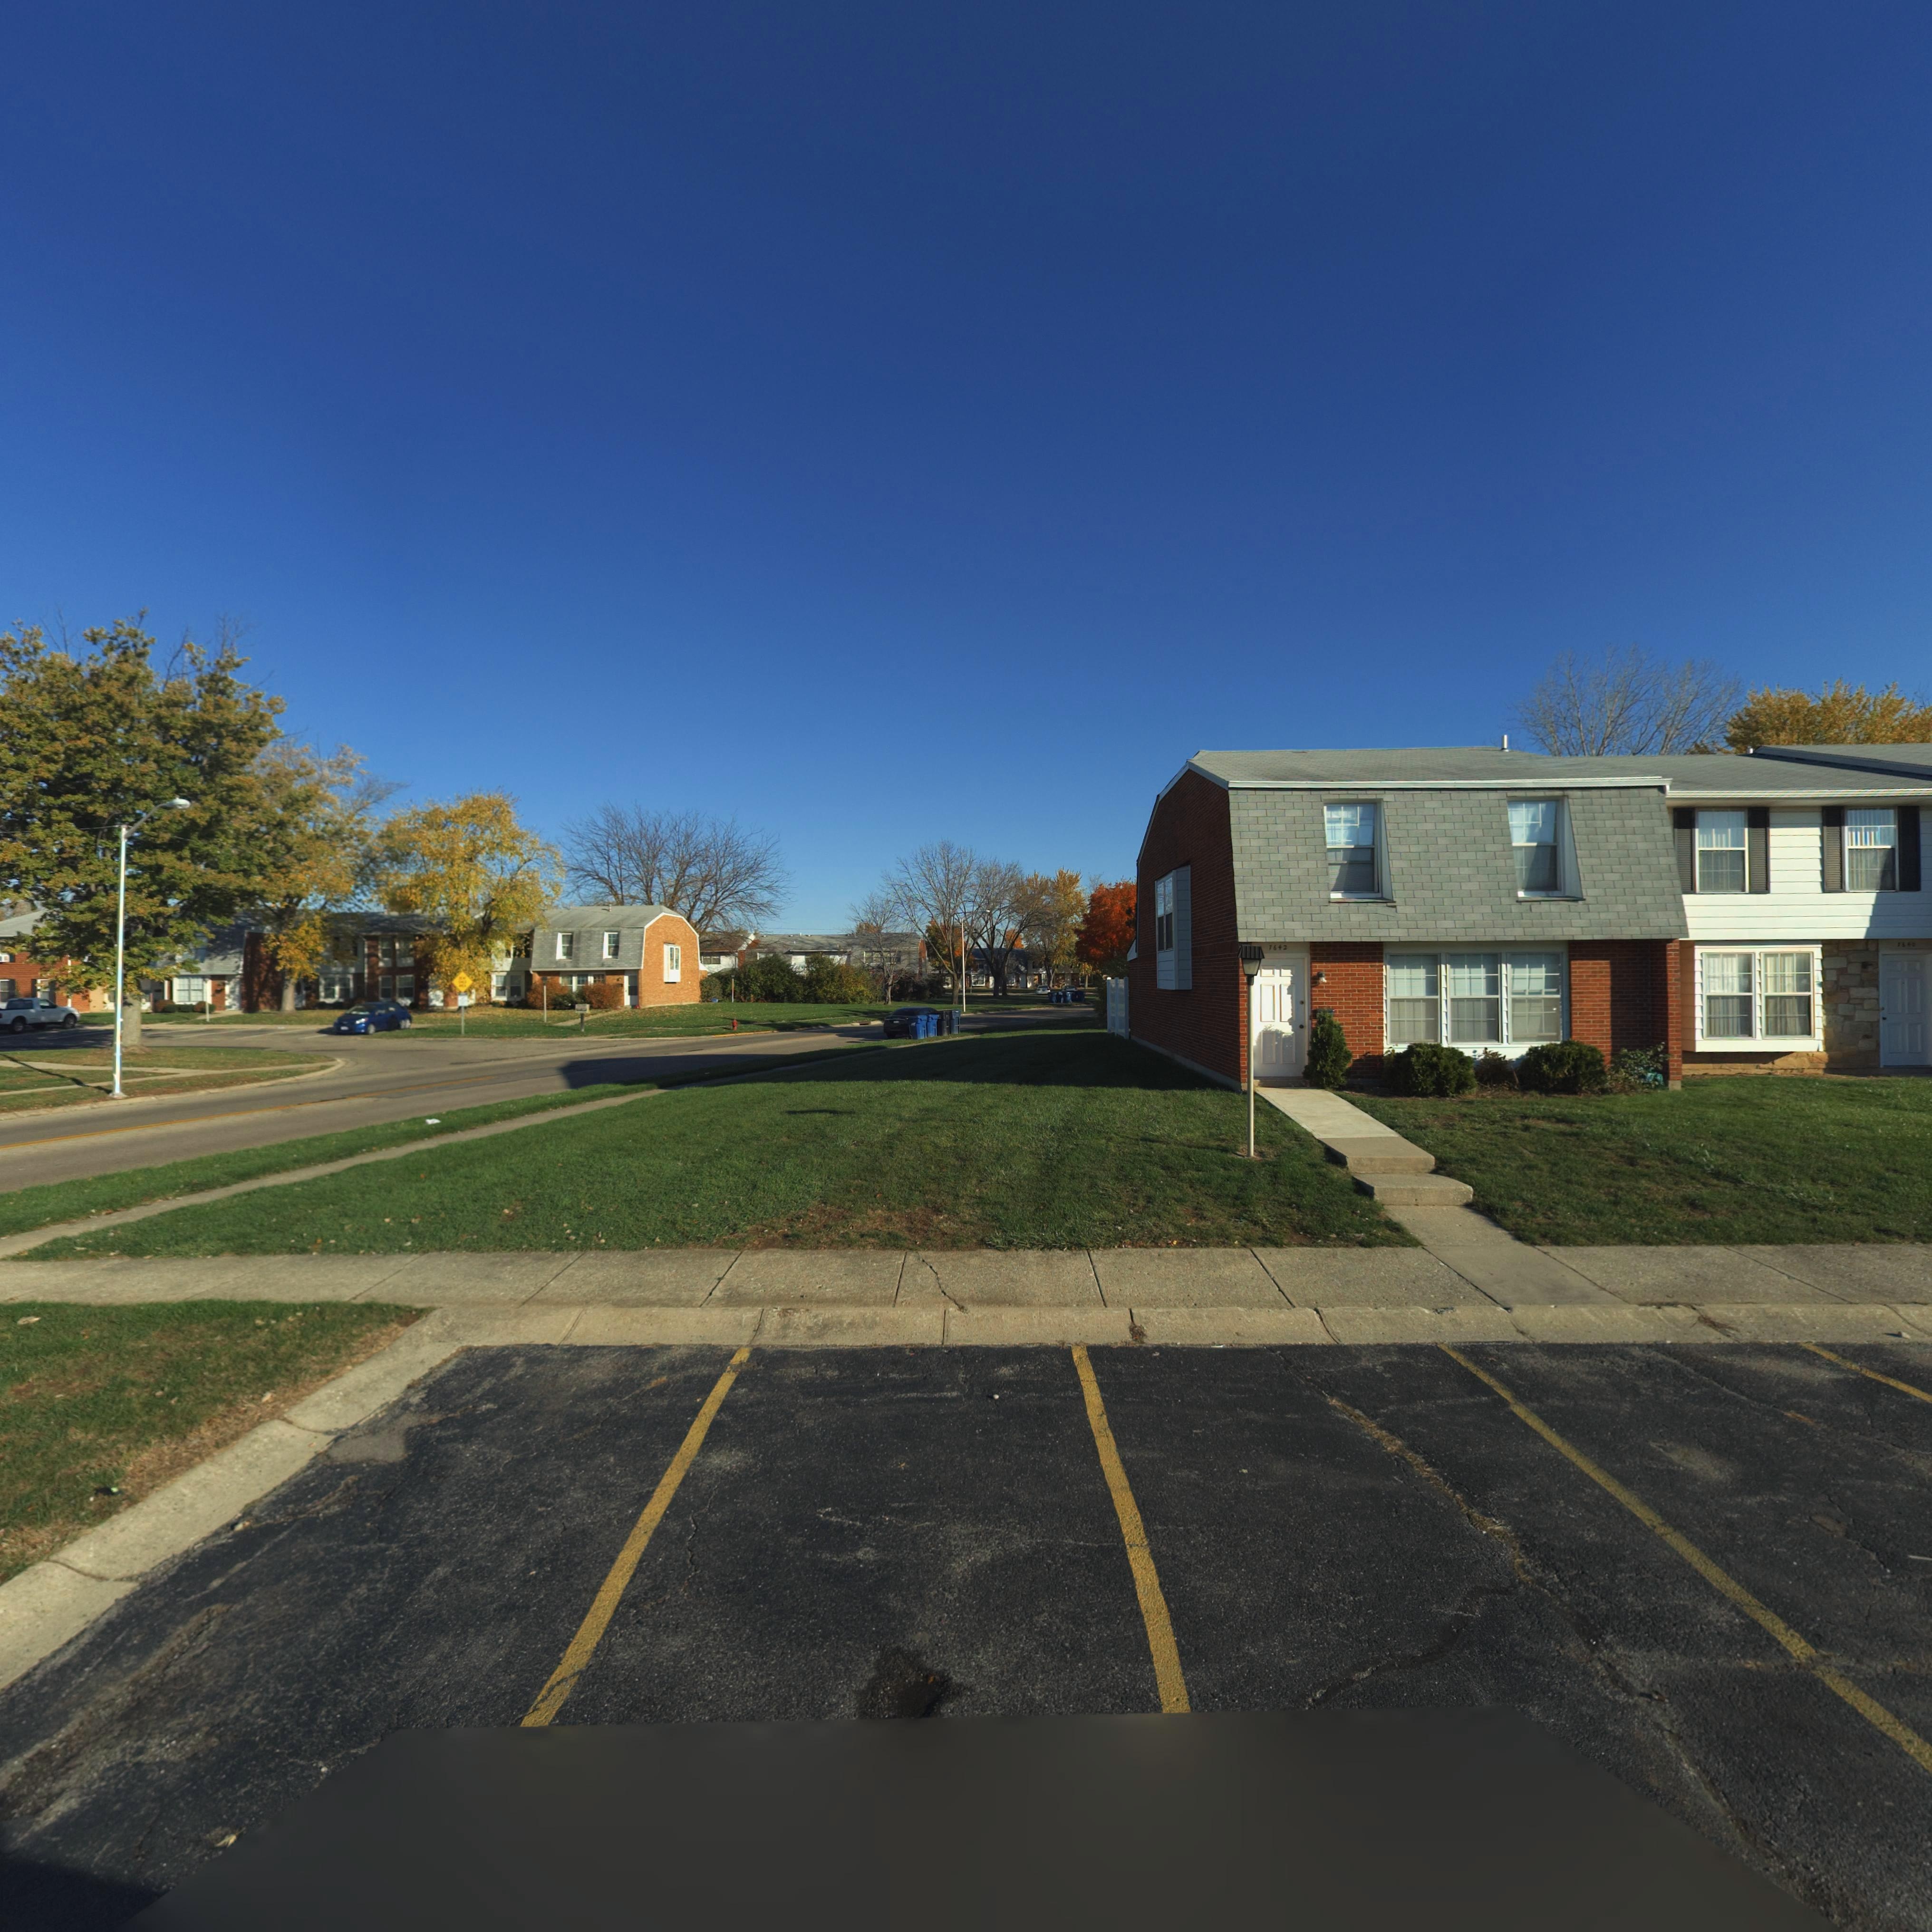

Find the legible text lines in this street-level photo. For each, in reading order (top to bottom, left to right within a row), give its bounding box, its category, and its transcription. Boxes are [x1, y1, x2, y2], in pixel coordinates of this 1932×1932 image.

[1268, 944, 1288, 951] StreetNumber: 7642
[1895, 941, 1917, 948] StreetNumber: 7640